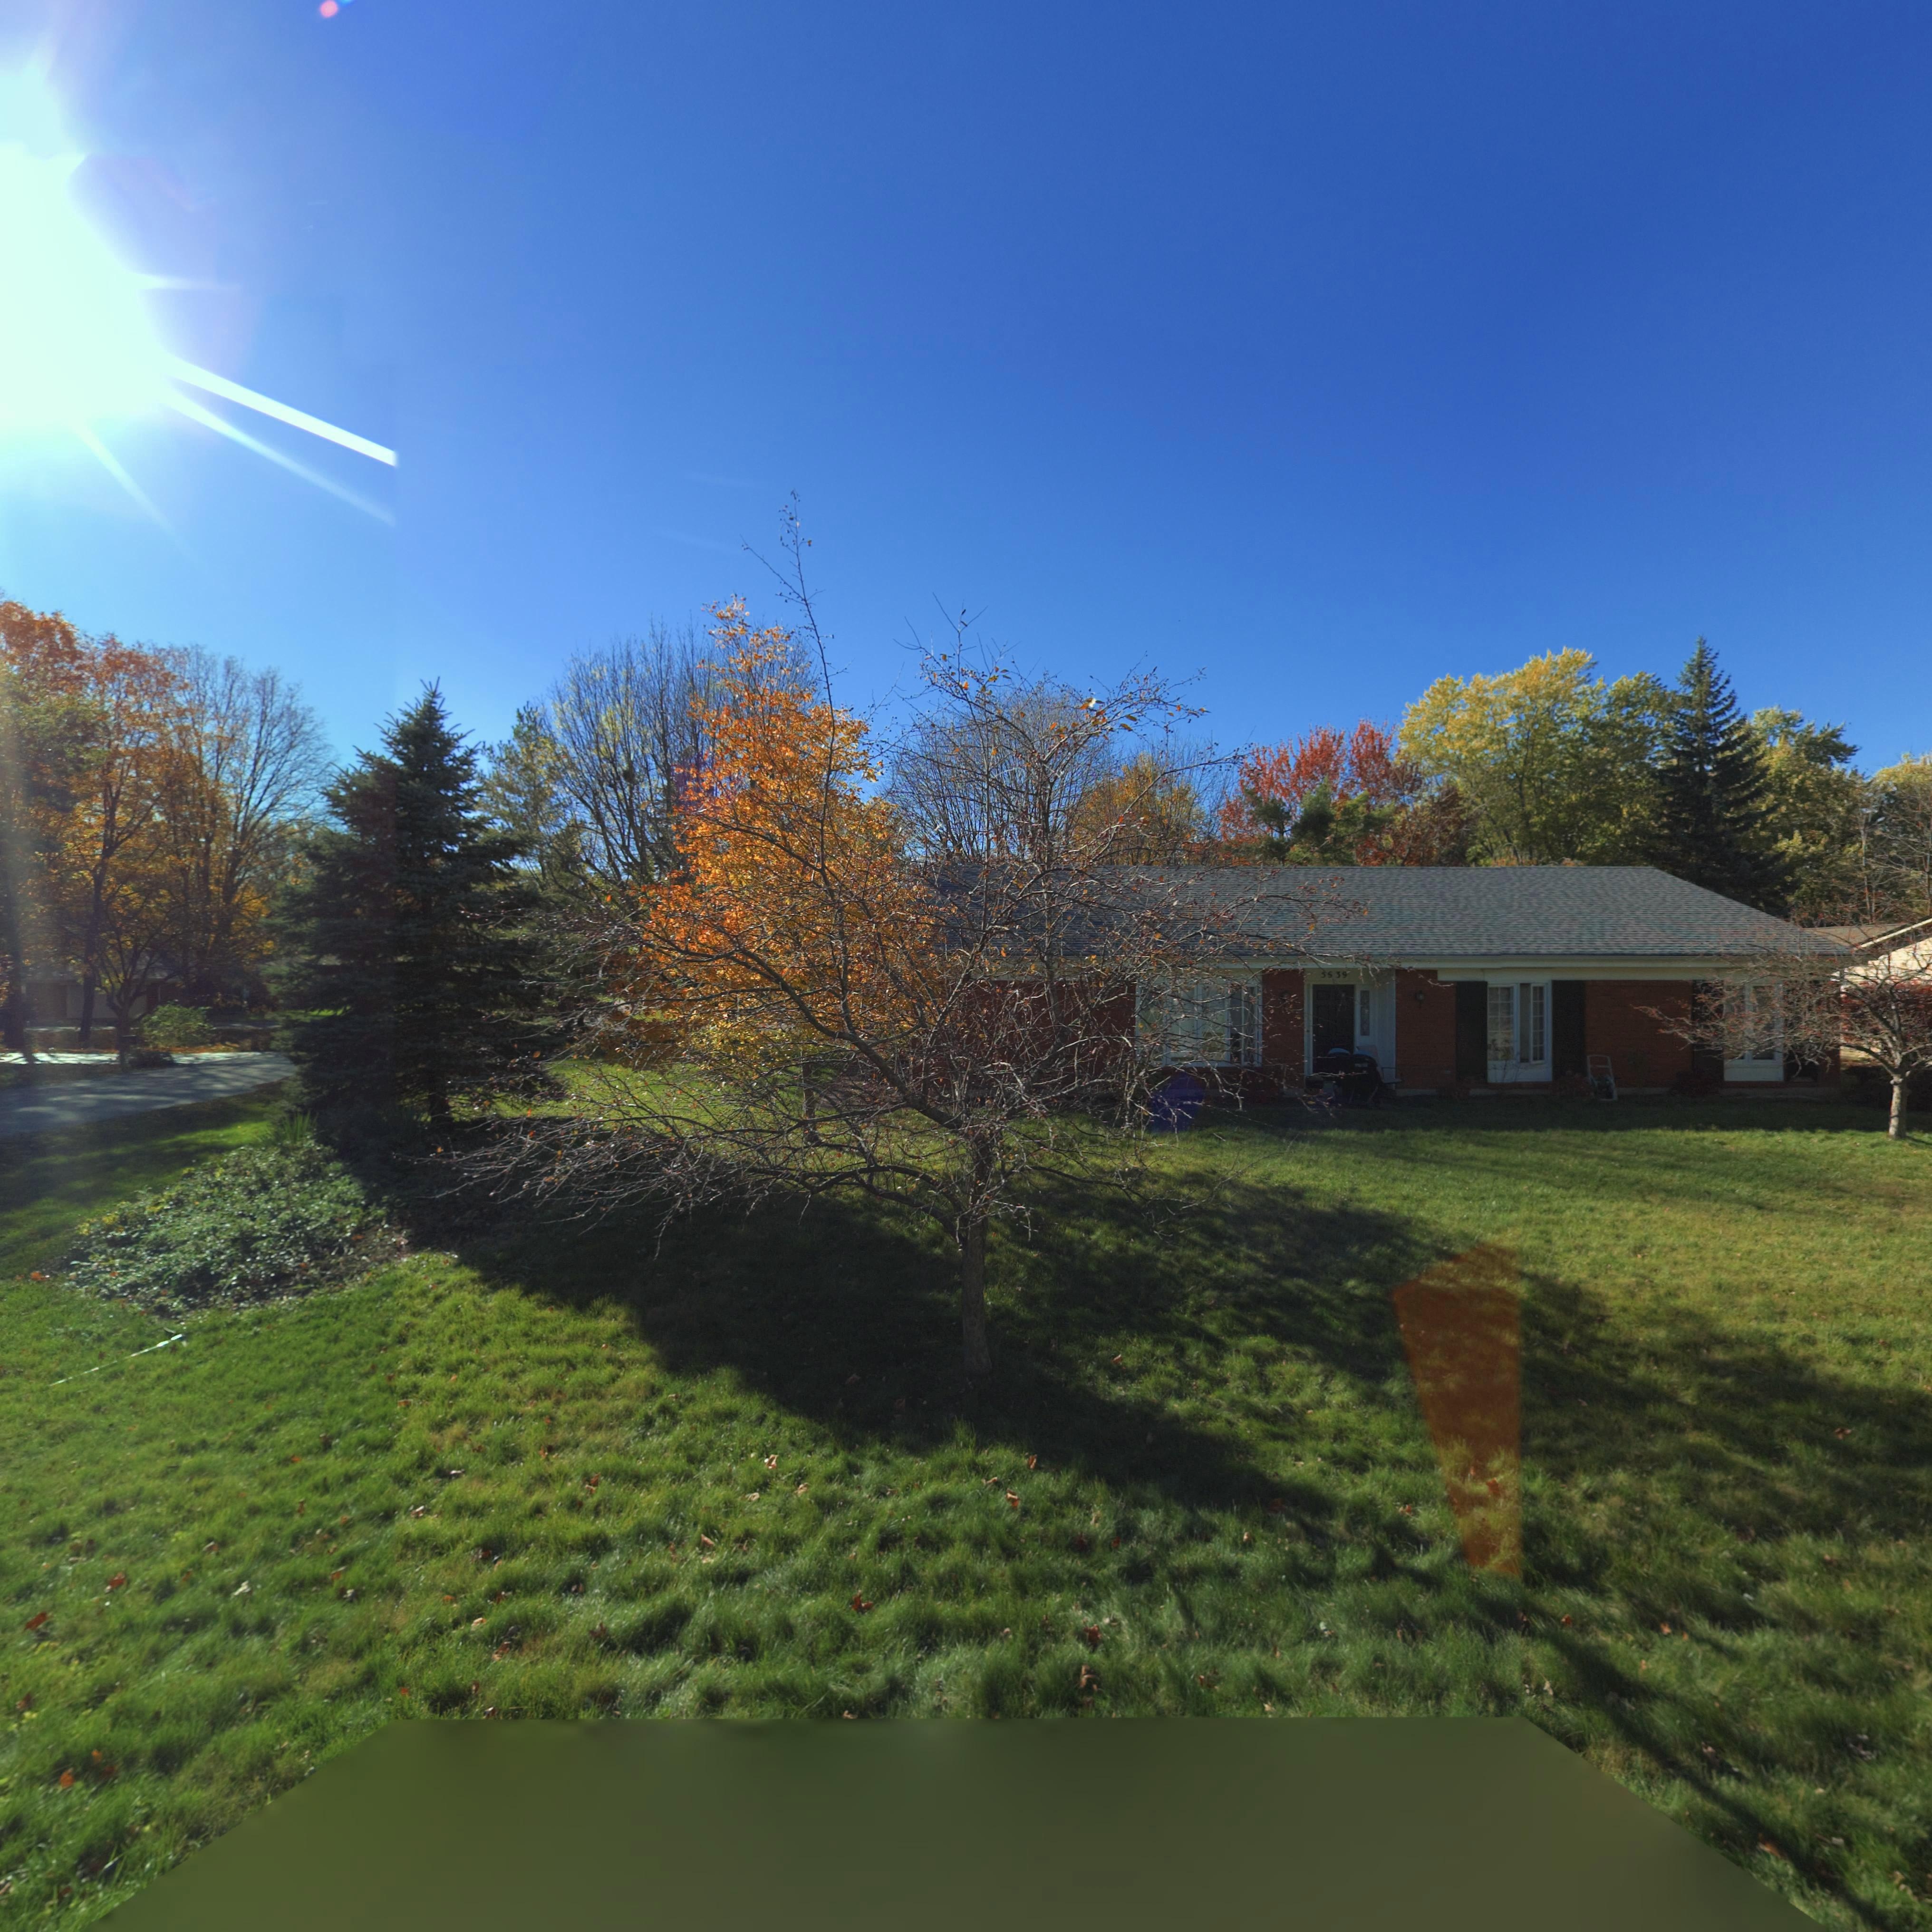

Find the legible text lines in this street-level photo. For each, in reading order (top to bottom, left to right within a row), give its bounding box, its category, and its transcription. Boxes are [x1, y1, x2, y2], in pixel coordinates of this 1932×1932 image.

[1320, 970, 1348, 979] StreetNumber: 5639